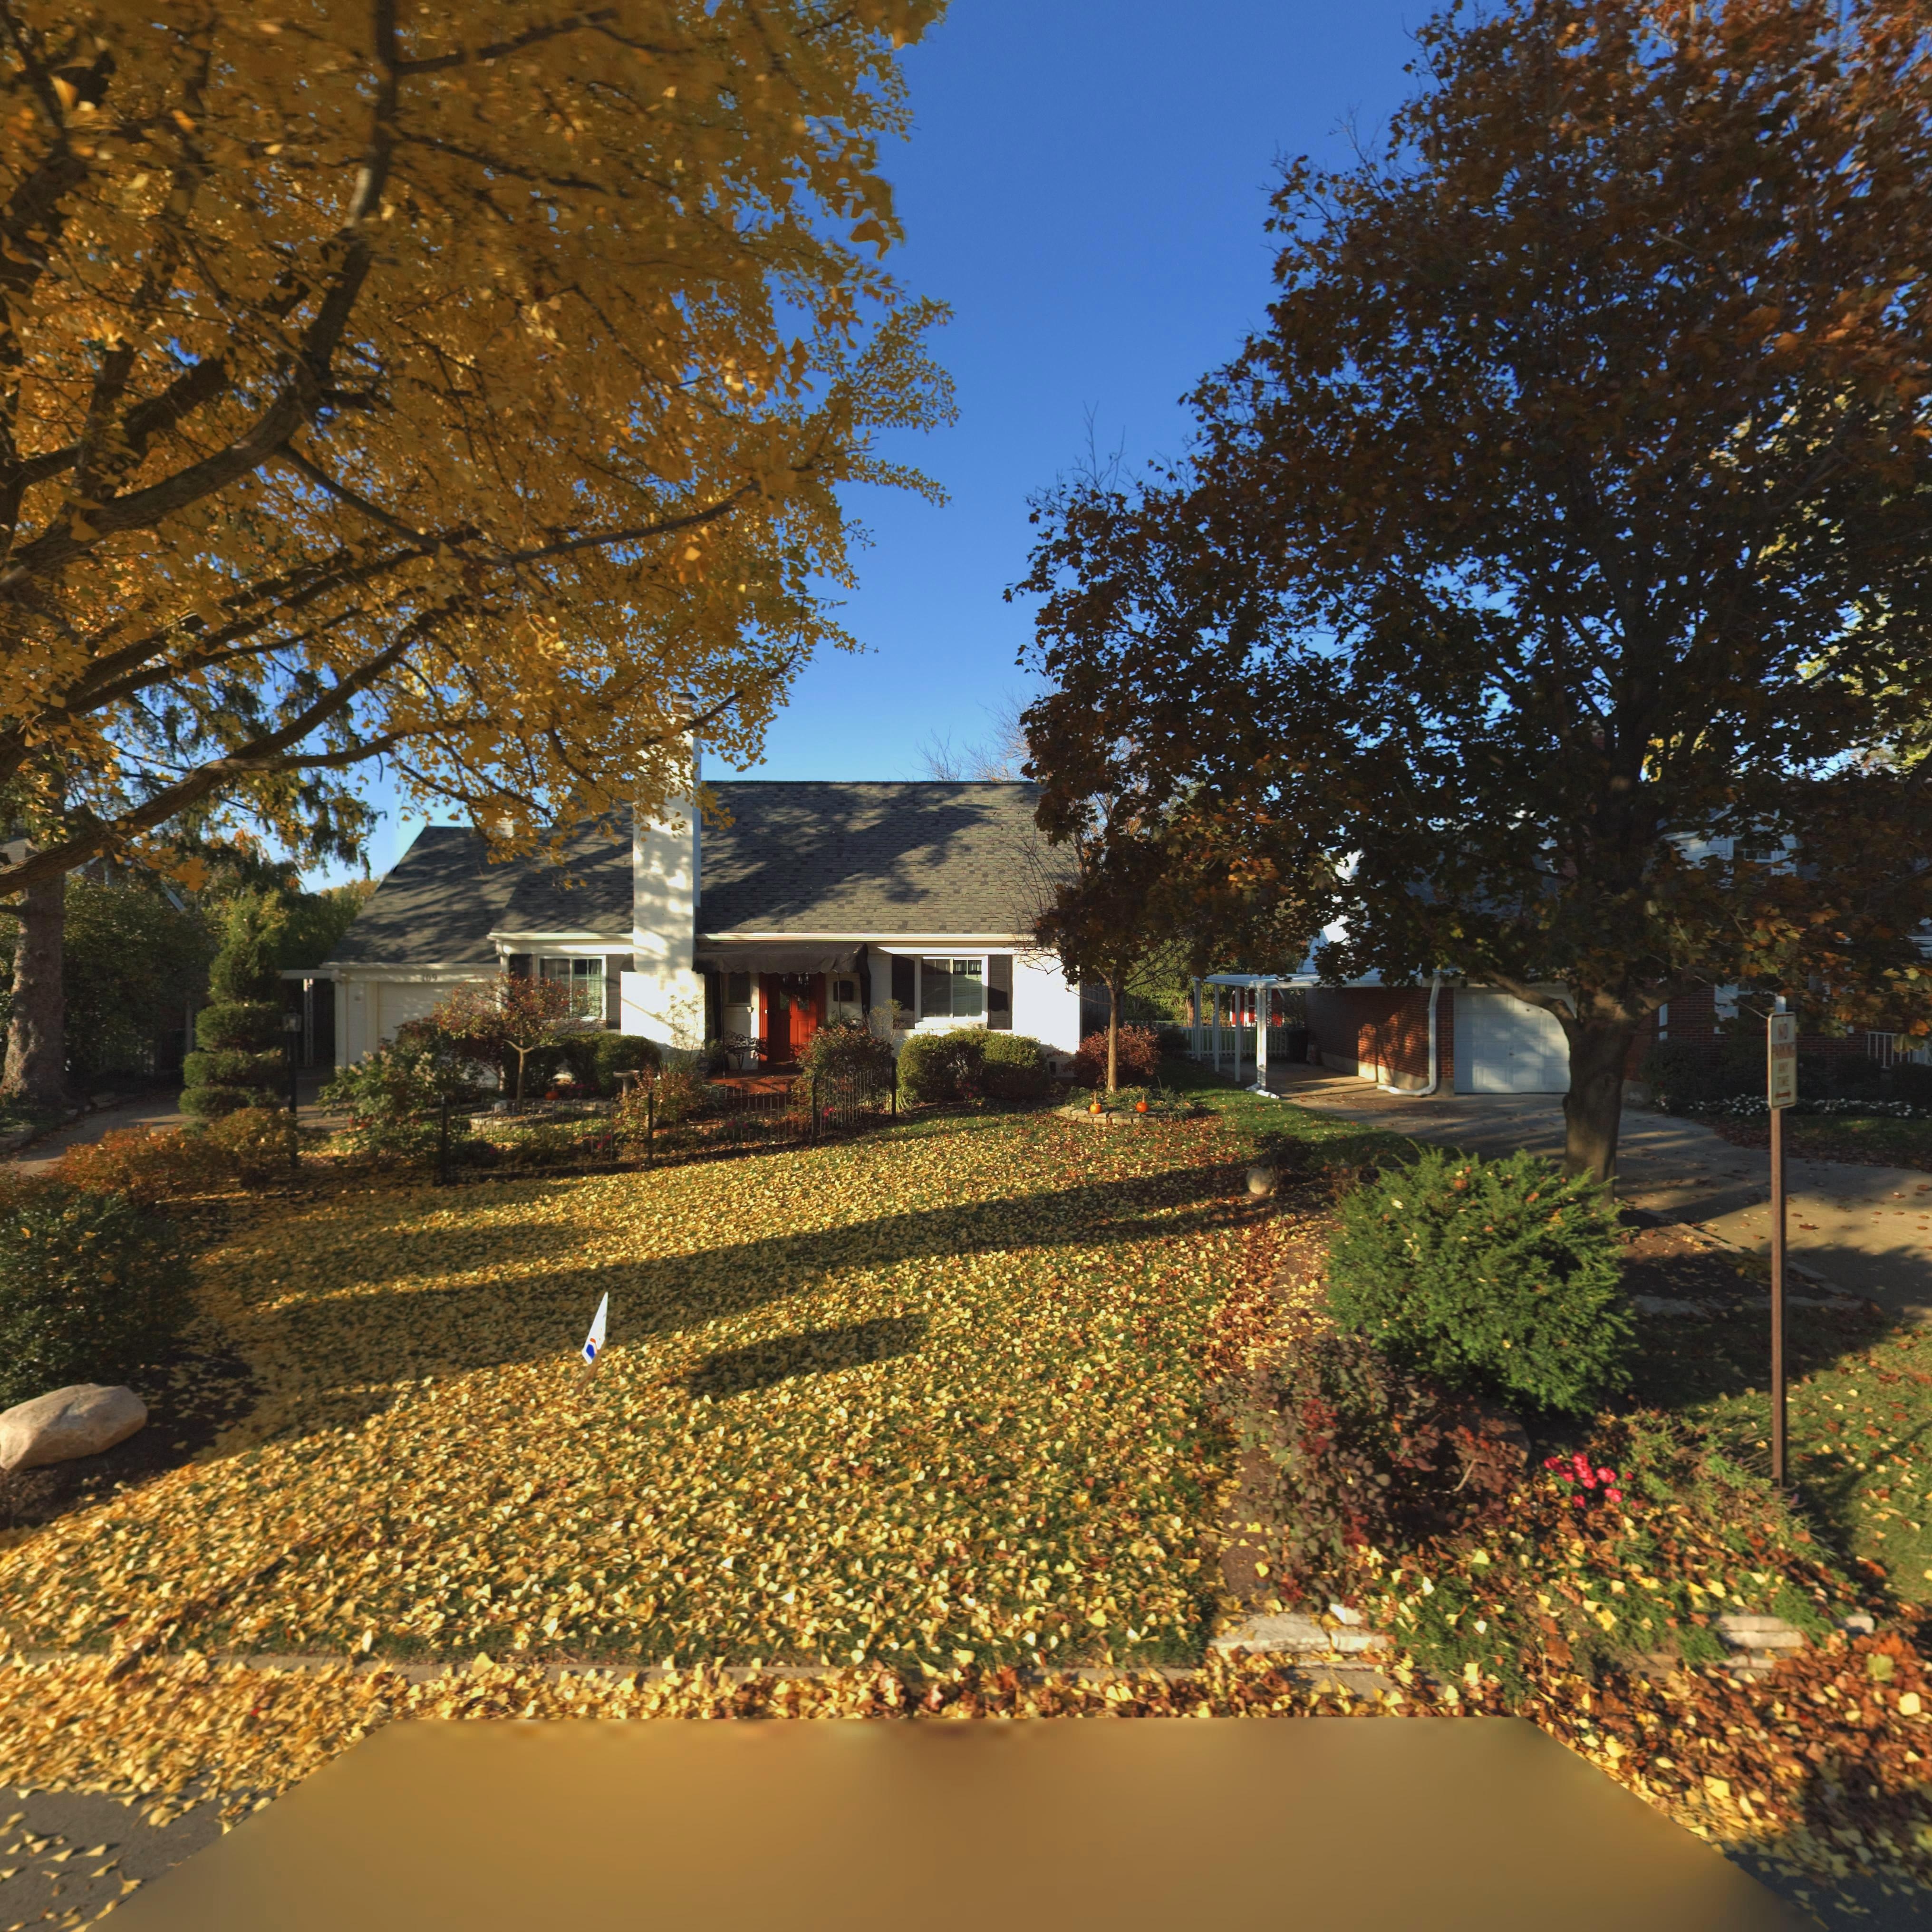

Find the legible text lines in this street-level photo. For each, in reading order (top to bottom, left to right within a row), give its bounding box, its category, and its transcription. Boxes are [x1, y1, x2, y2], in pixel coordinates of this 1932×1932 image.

[417, 972, 439, 983] StreetNumber: 409